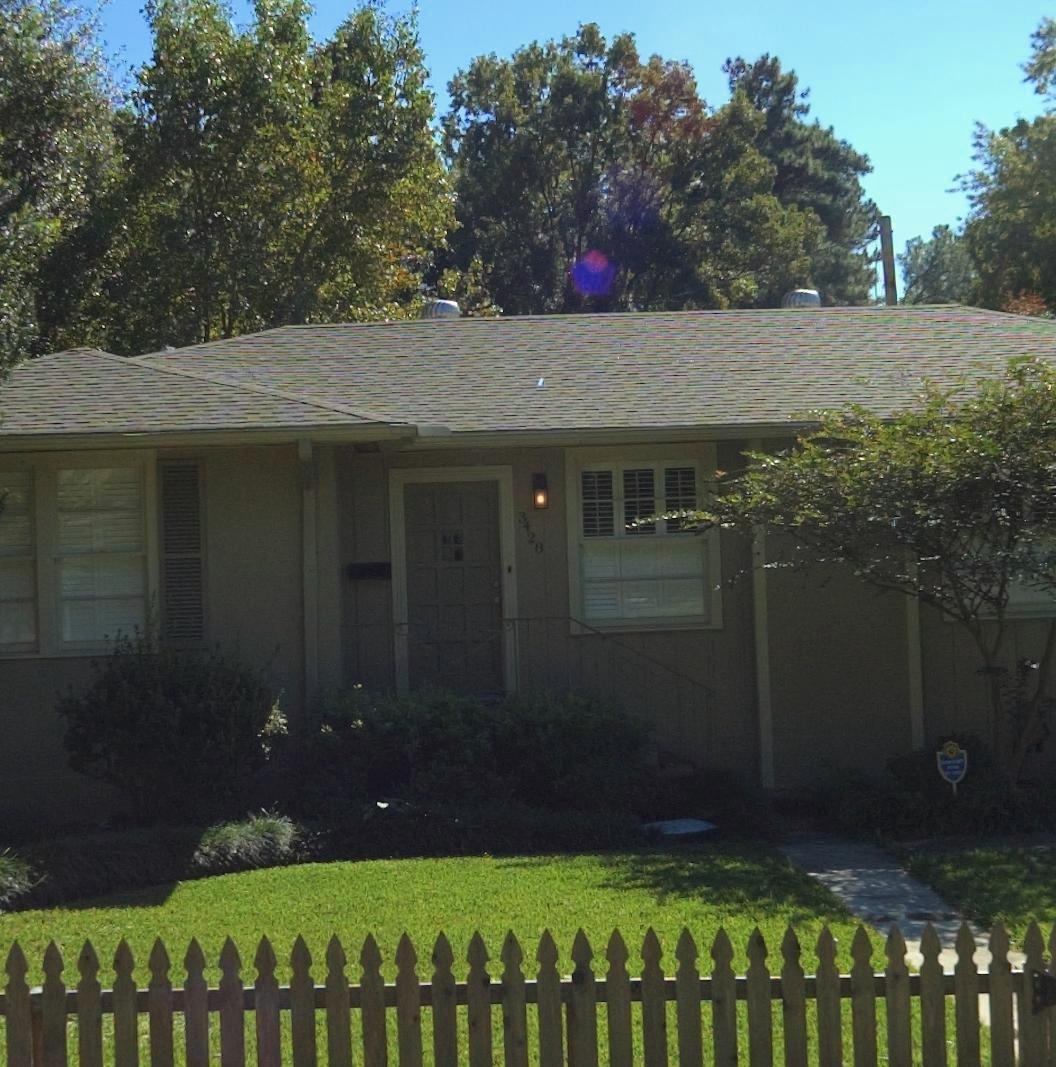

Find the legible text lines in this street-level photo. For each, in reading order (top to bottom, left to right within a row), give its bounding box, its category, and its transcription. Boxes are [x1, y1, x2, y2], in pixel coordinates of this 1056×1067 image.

[516, 509, 546, 555] StreetNumber: 3428